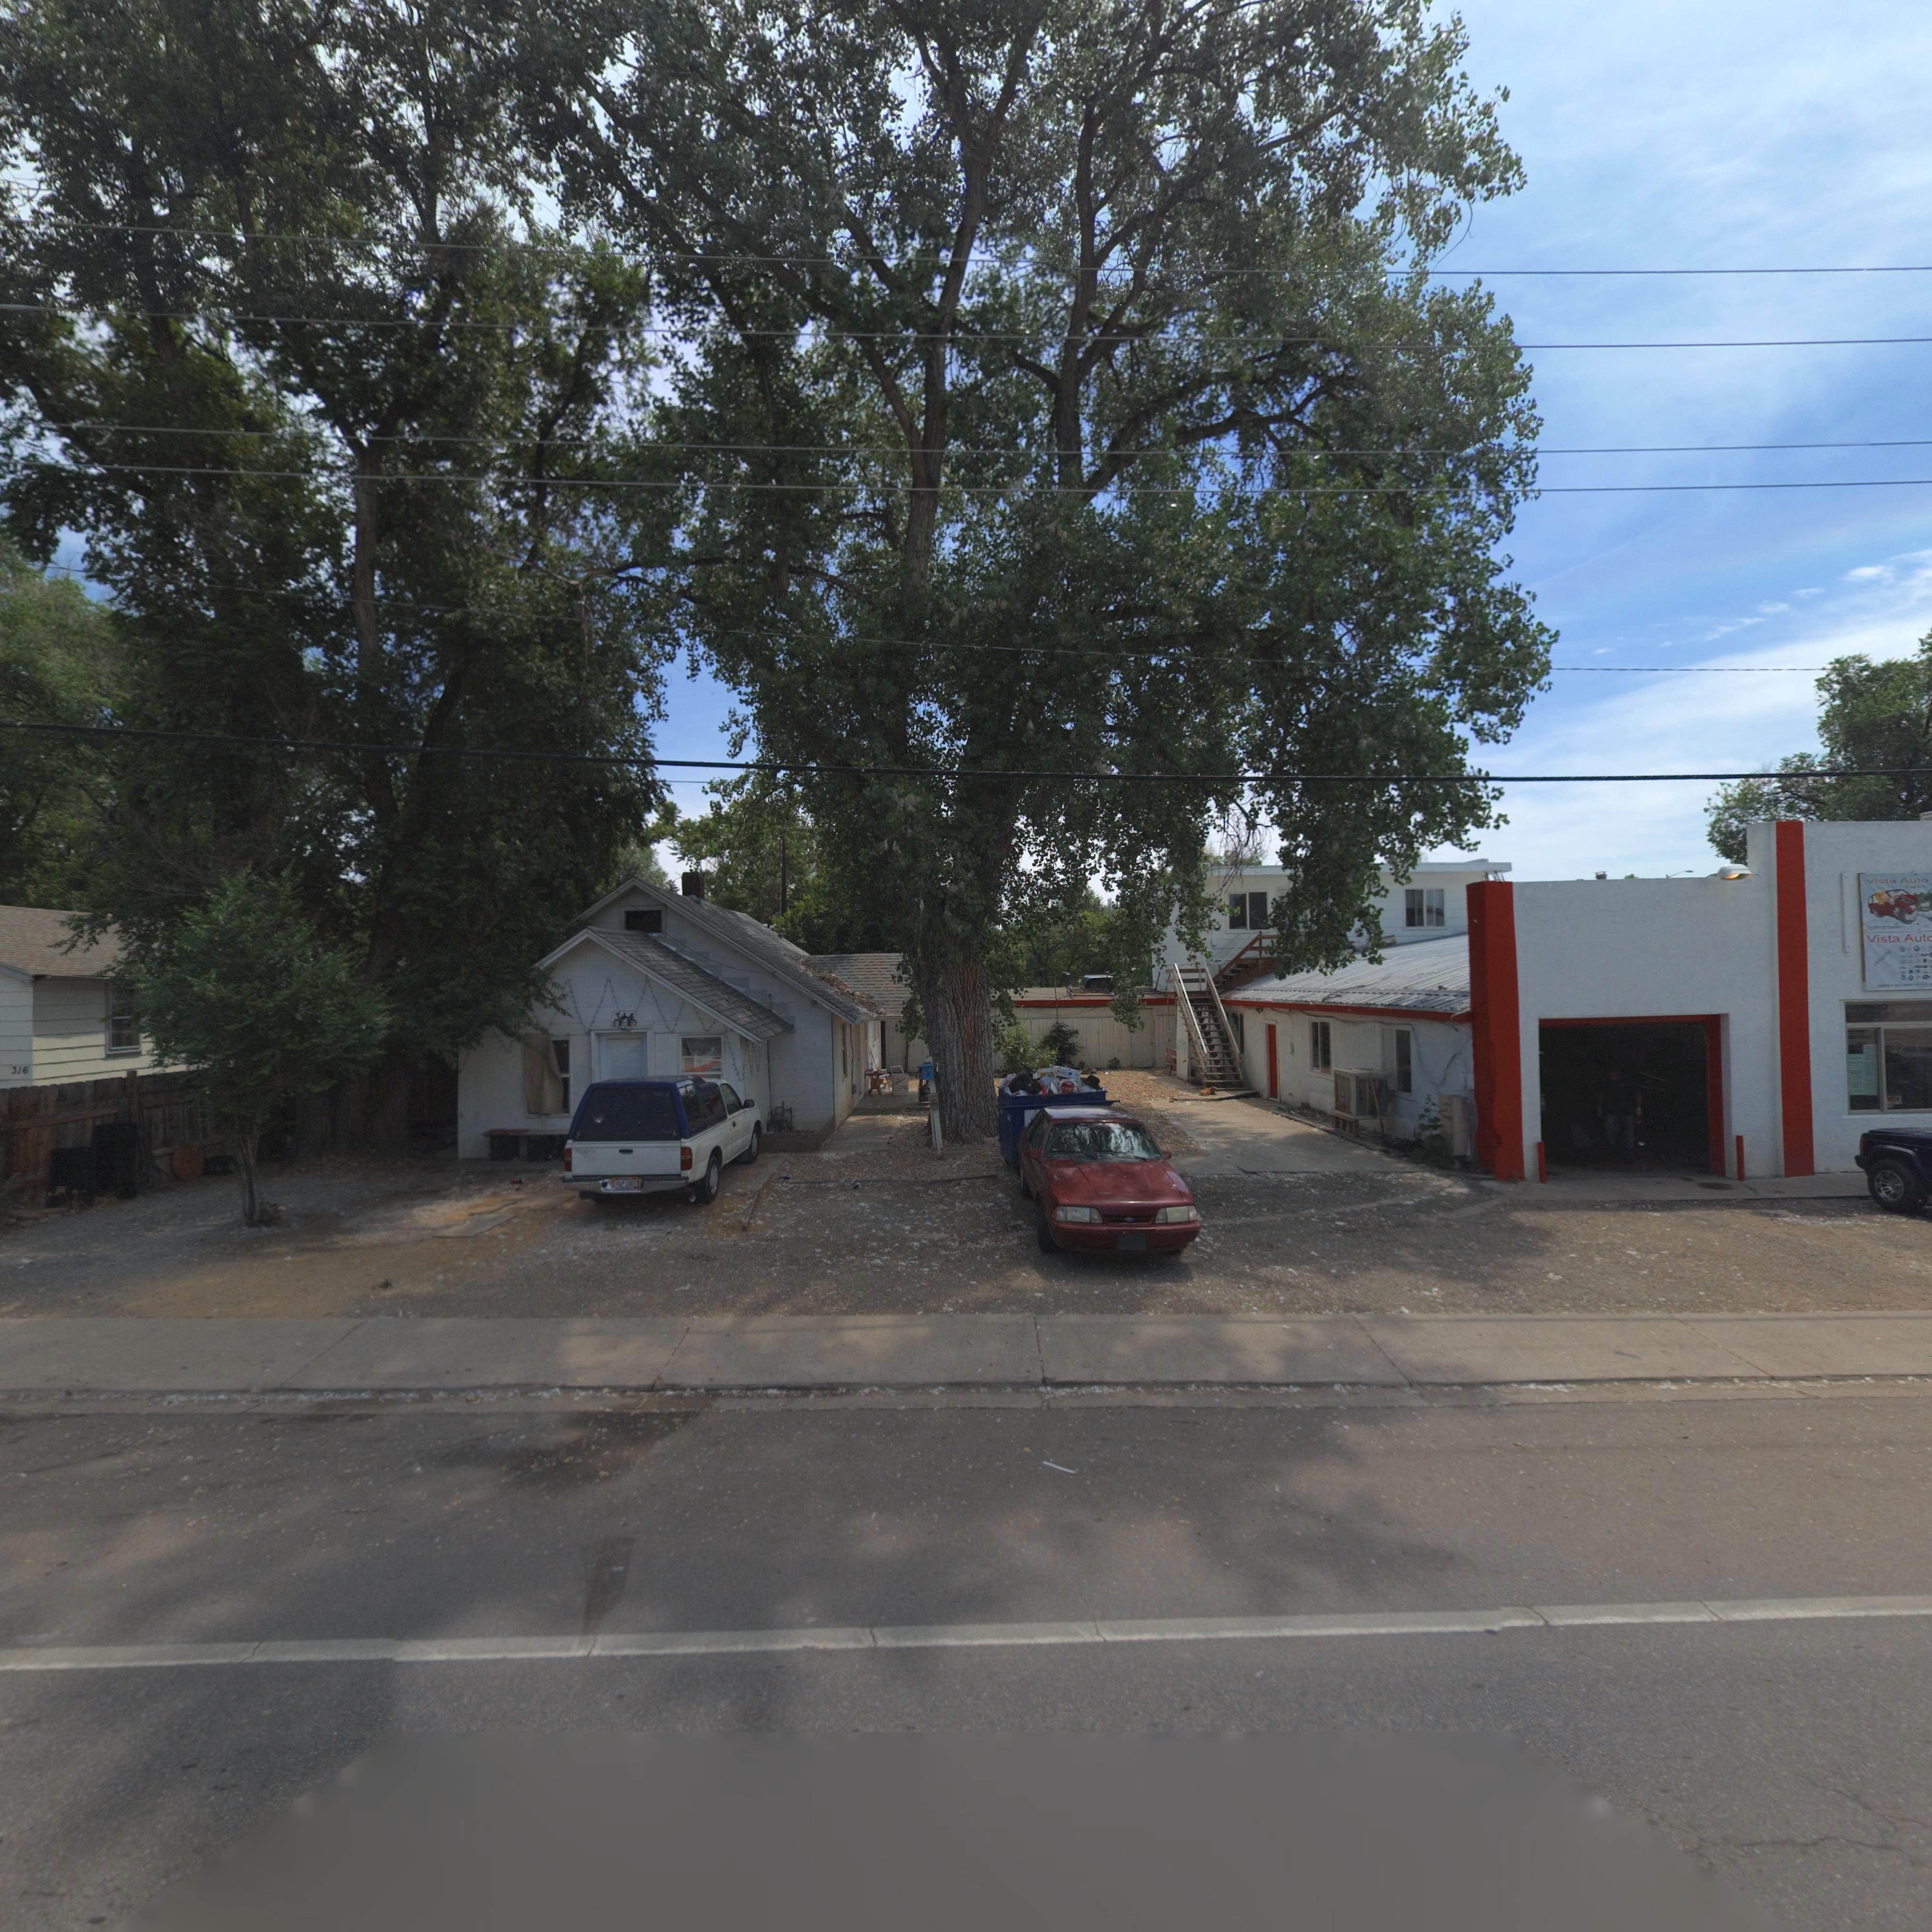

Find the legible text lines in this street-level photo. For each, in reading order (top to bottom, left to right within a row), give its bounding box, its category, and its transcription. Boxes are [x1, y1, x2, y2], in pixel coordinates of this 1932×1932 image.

[1864, 875, 1928, 886] StreetName: Vista Auto
[1866, 931, 1932, 945] BusinessName: VISTA AUTO
[613, 1011, 635, 1022] StreetNumber: 314
[11, 1065, 29, 1074] StreetNumber: 316